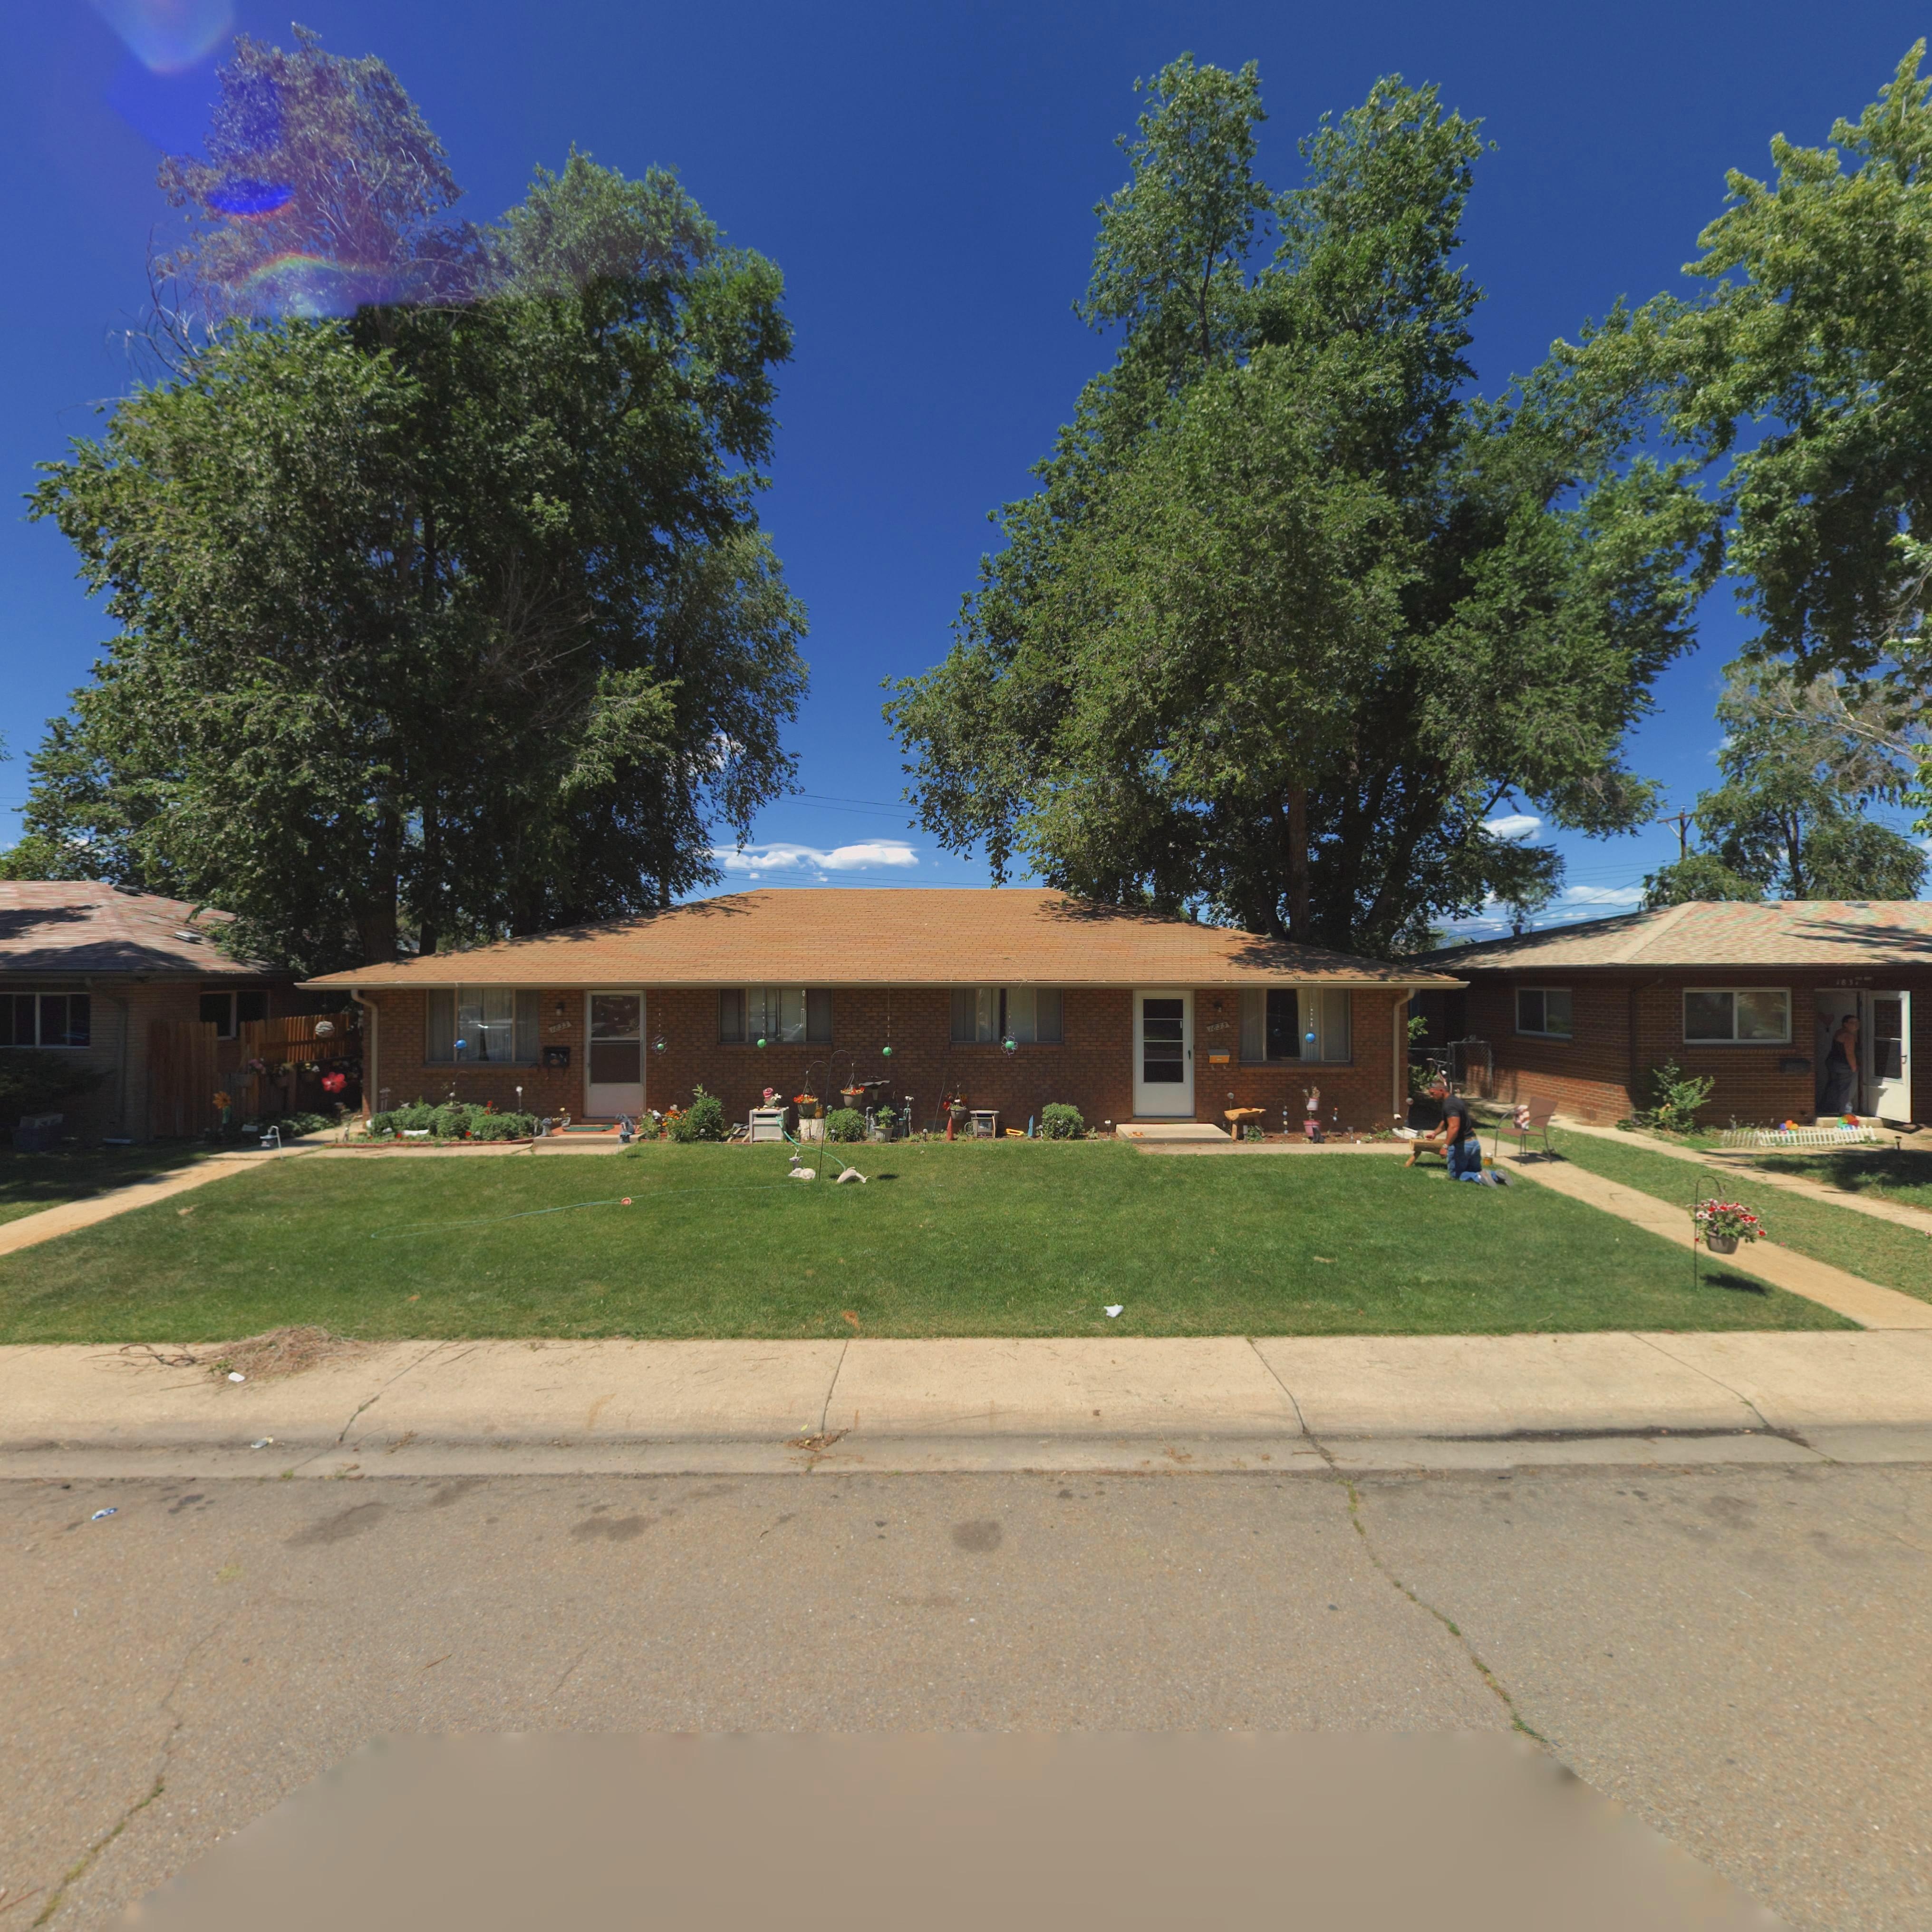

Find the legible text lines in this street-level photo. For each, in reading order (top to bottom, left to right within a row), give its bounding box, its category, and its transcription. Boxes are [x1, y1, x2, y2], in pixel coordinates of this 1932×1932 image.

[1835, 978, 1859, 986] StreetNumber: 183*
[551, 1021, 568, 1033] StreetNumber: 1833
[1209, 1022, 1227, 1032] StreetNumber: 1835